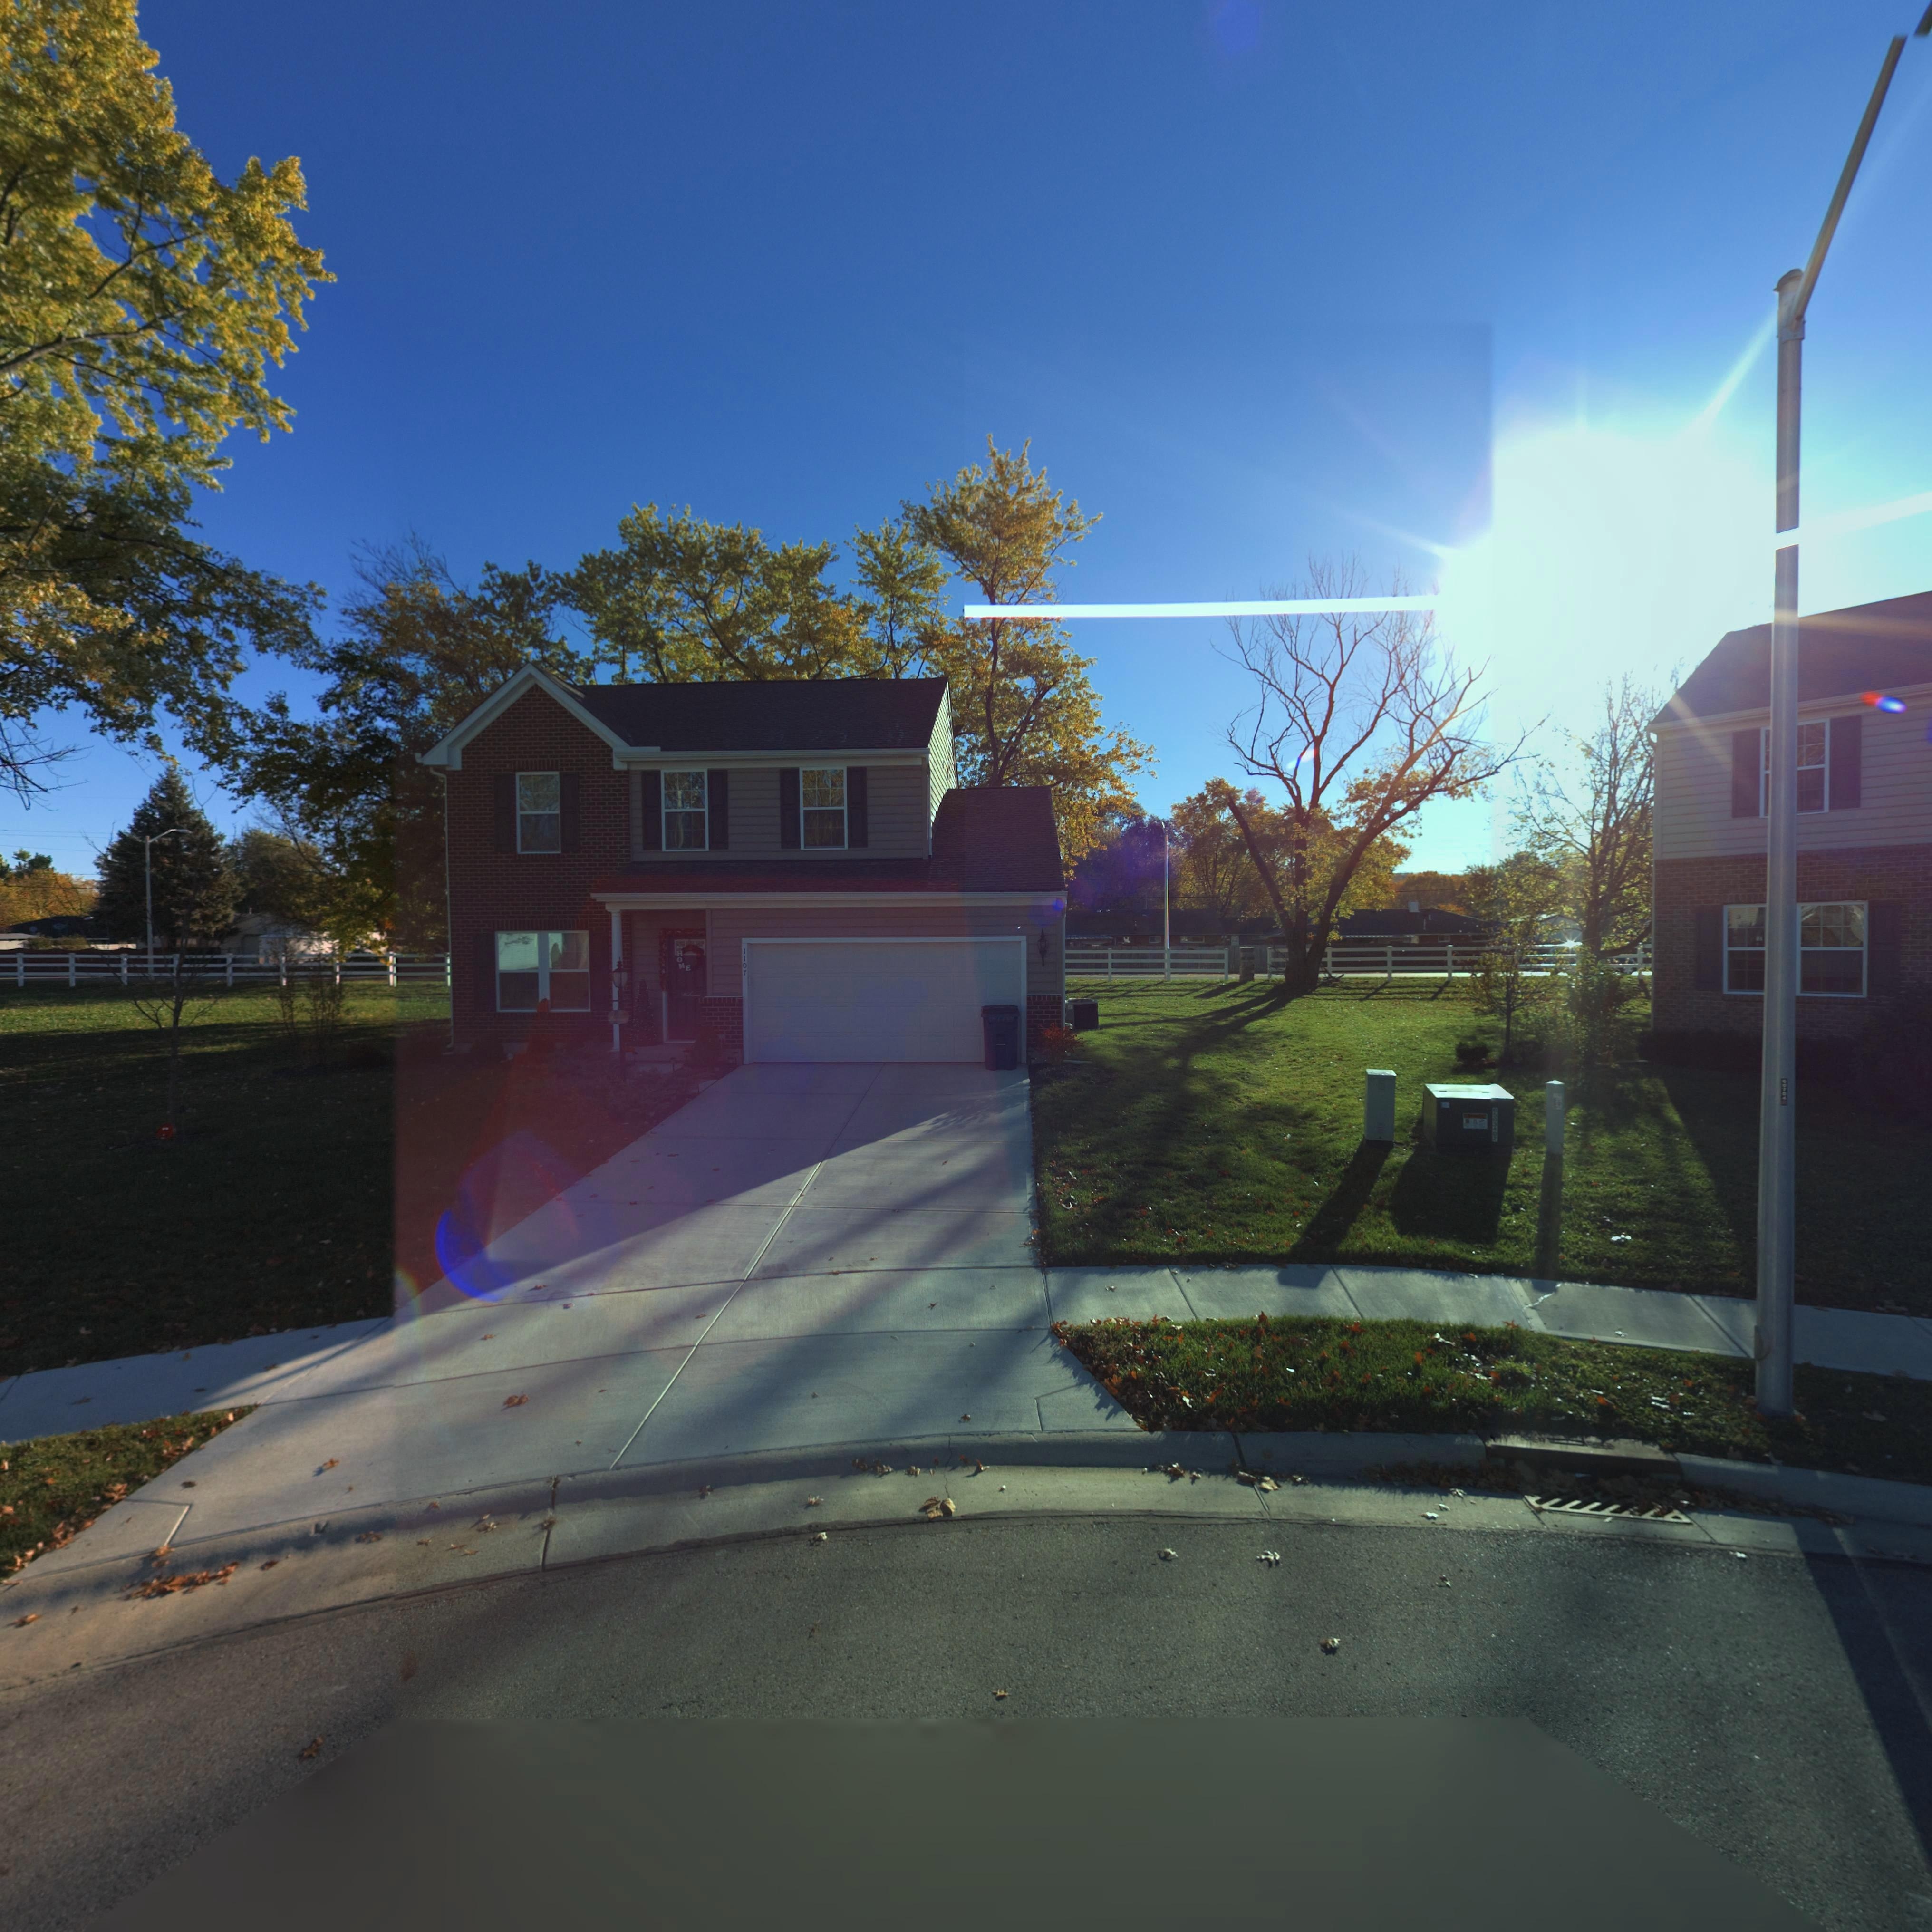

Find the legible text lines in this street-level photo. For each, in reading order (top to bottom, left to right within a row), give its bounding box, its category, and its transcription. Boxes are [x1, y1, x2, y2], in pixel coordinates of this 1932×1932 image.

[742, 947, 747, 976] StreetNumber: 1107